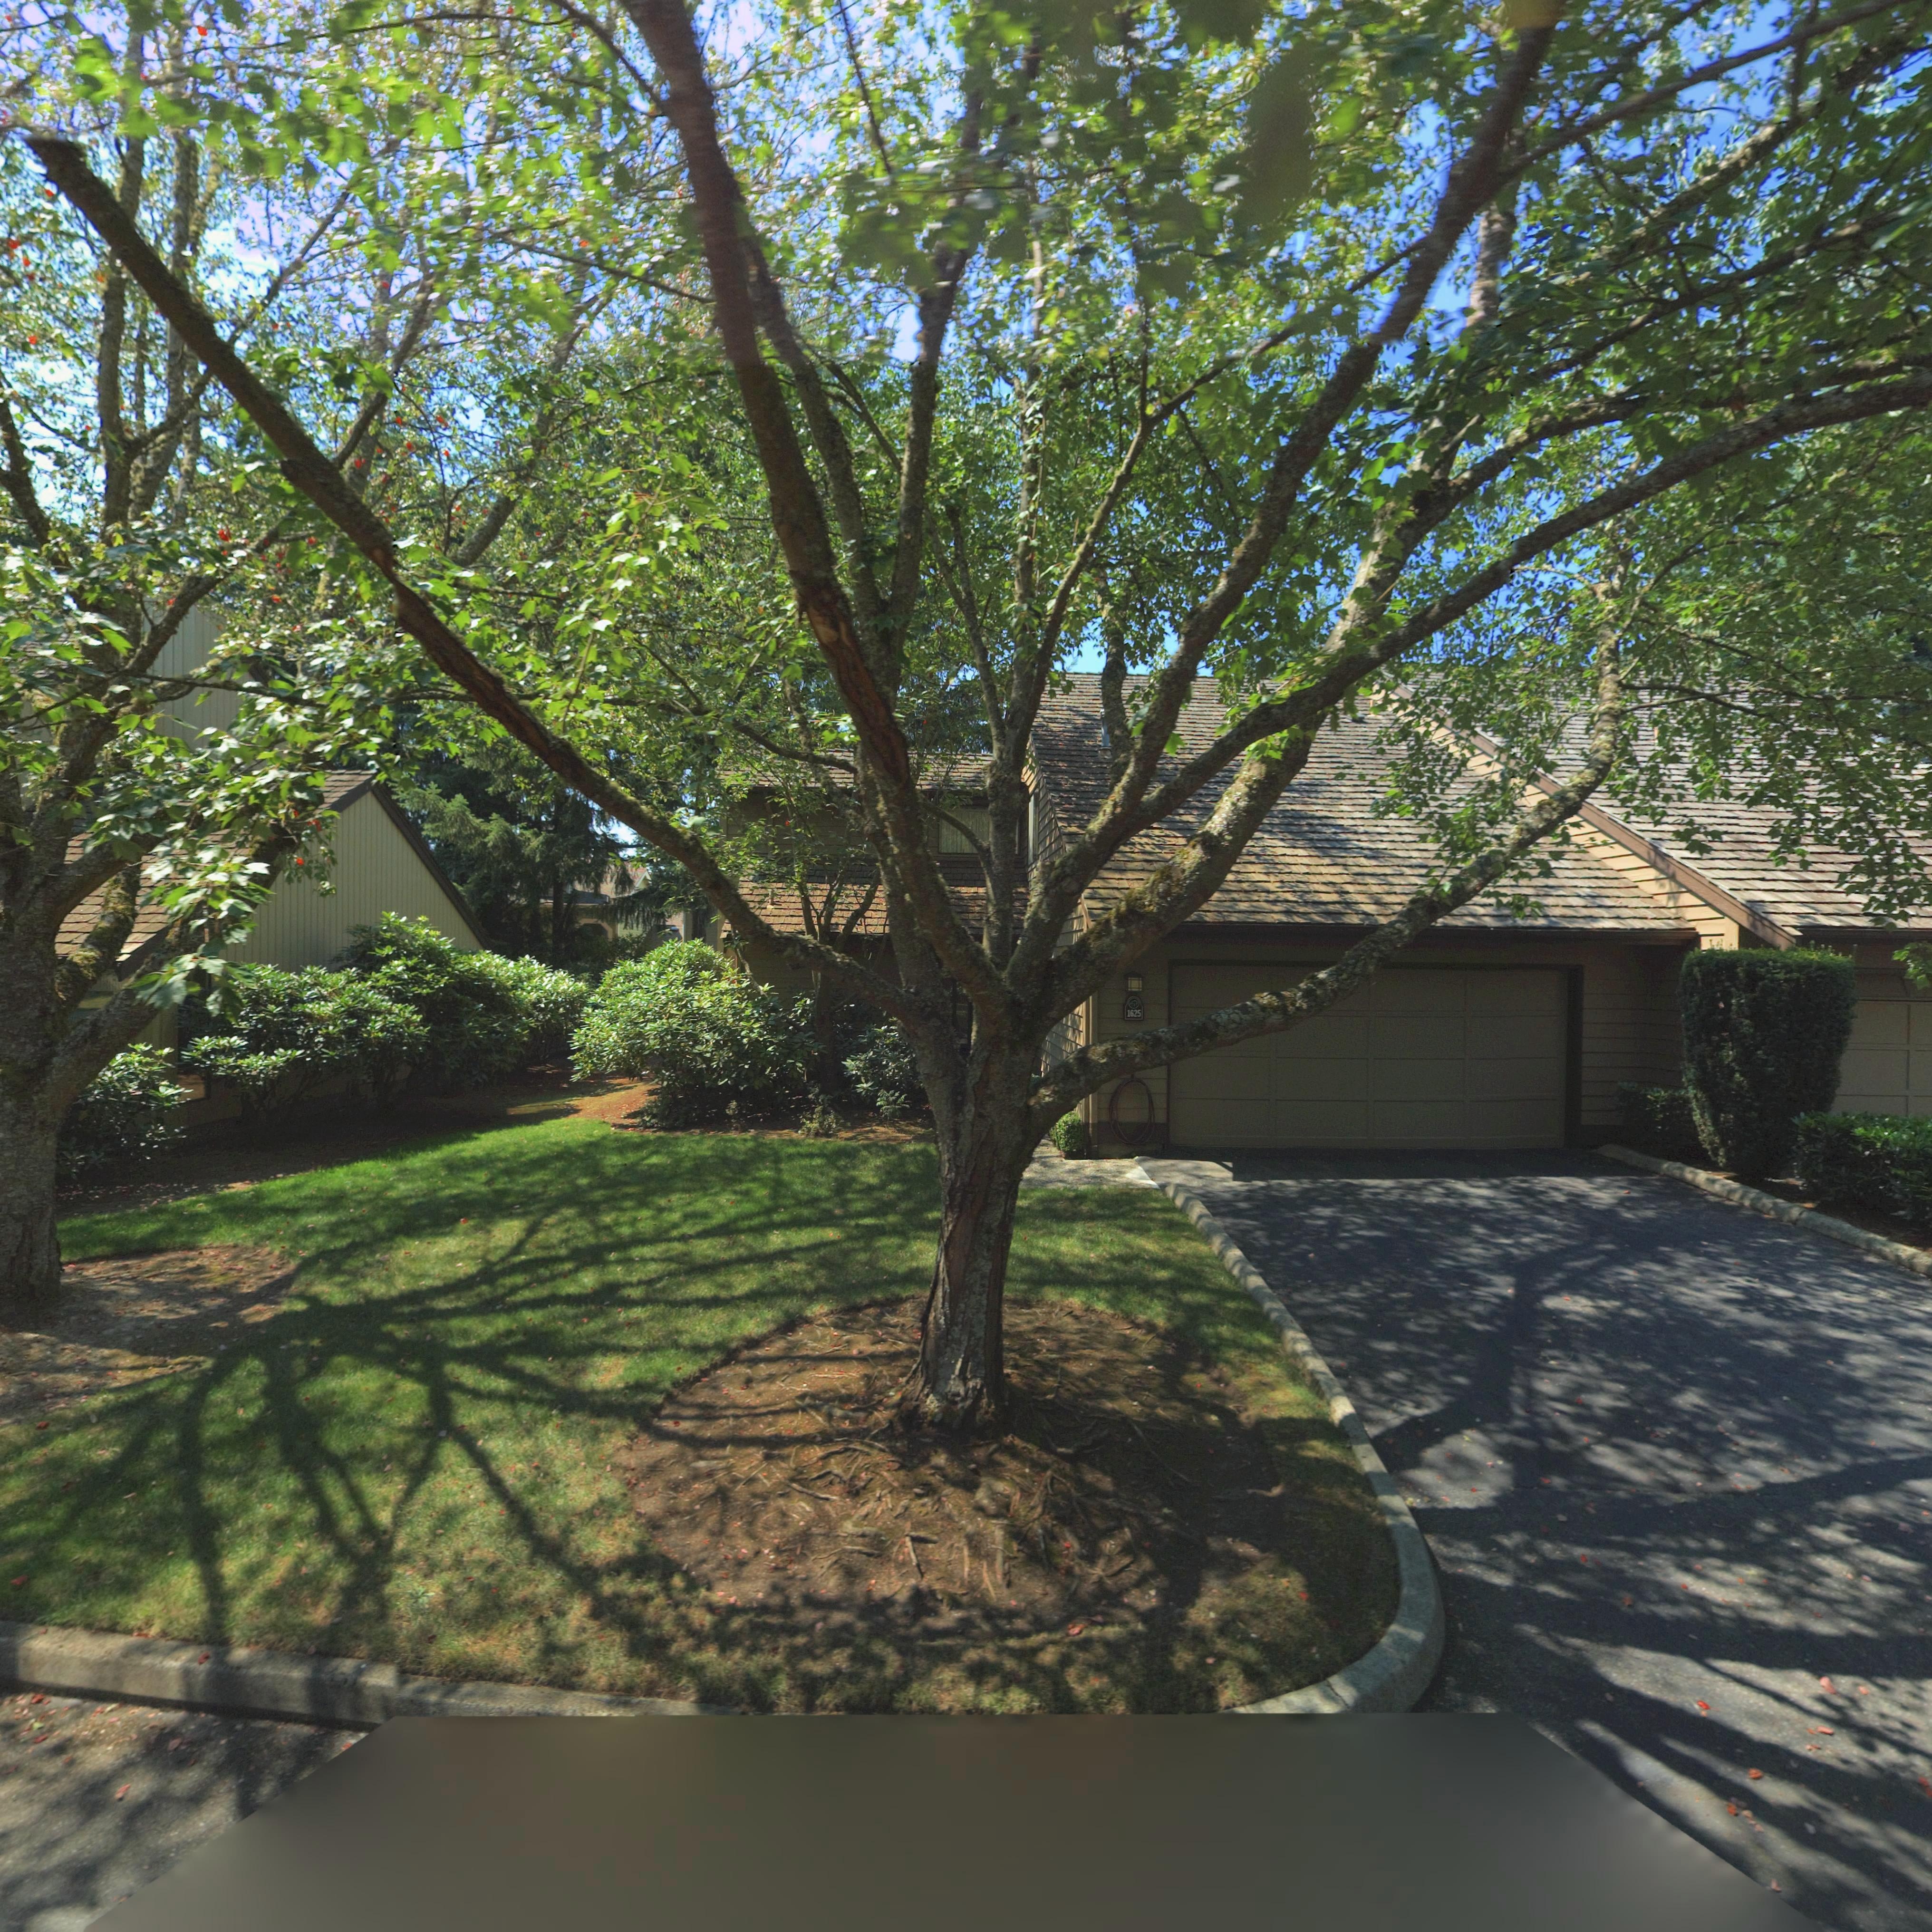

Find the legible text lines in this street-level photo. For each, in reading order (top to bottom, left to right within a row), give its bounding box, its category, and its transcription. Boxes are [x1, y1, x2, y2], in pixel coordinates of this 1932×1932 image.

[1127, 1009, 1141, 1017] StreetNumber: 1625